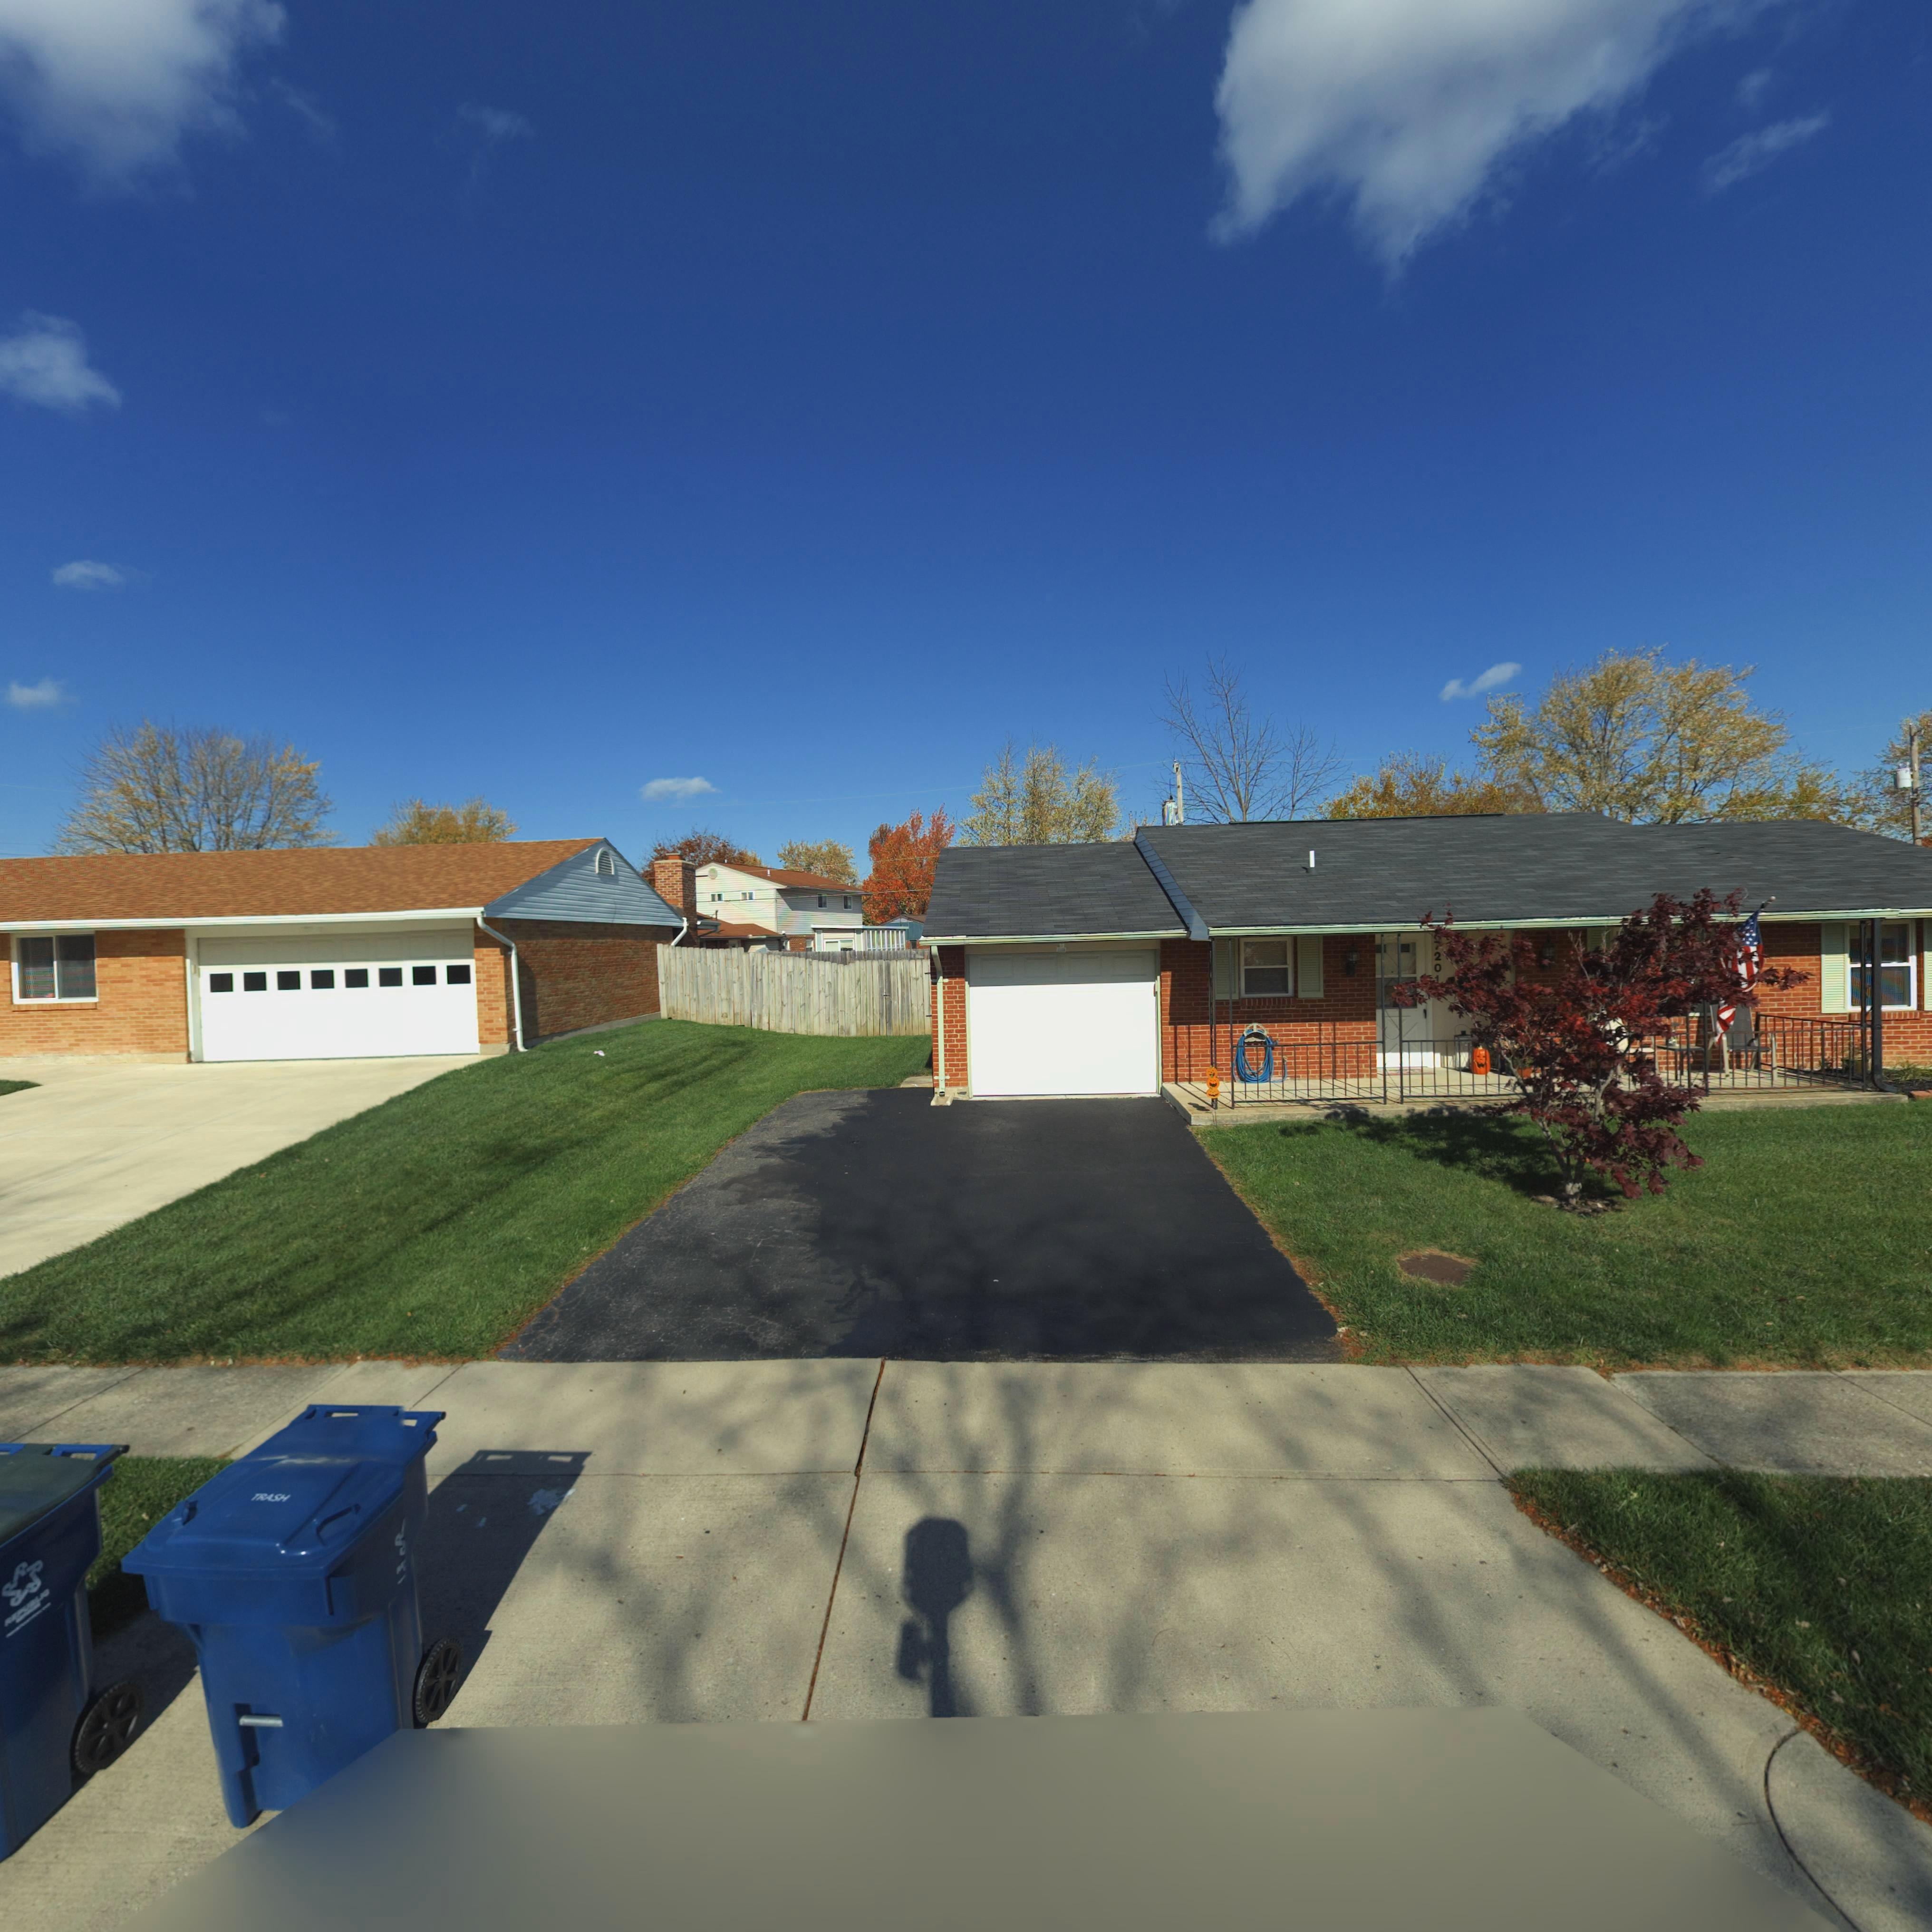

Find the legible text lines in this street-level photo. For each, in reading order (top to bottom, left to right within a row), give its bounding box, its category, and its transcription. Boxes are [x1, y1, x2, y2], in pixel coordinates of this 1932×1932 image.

[1433, 950, 1443, 986] StreetNumber: 201